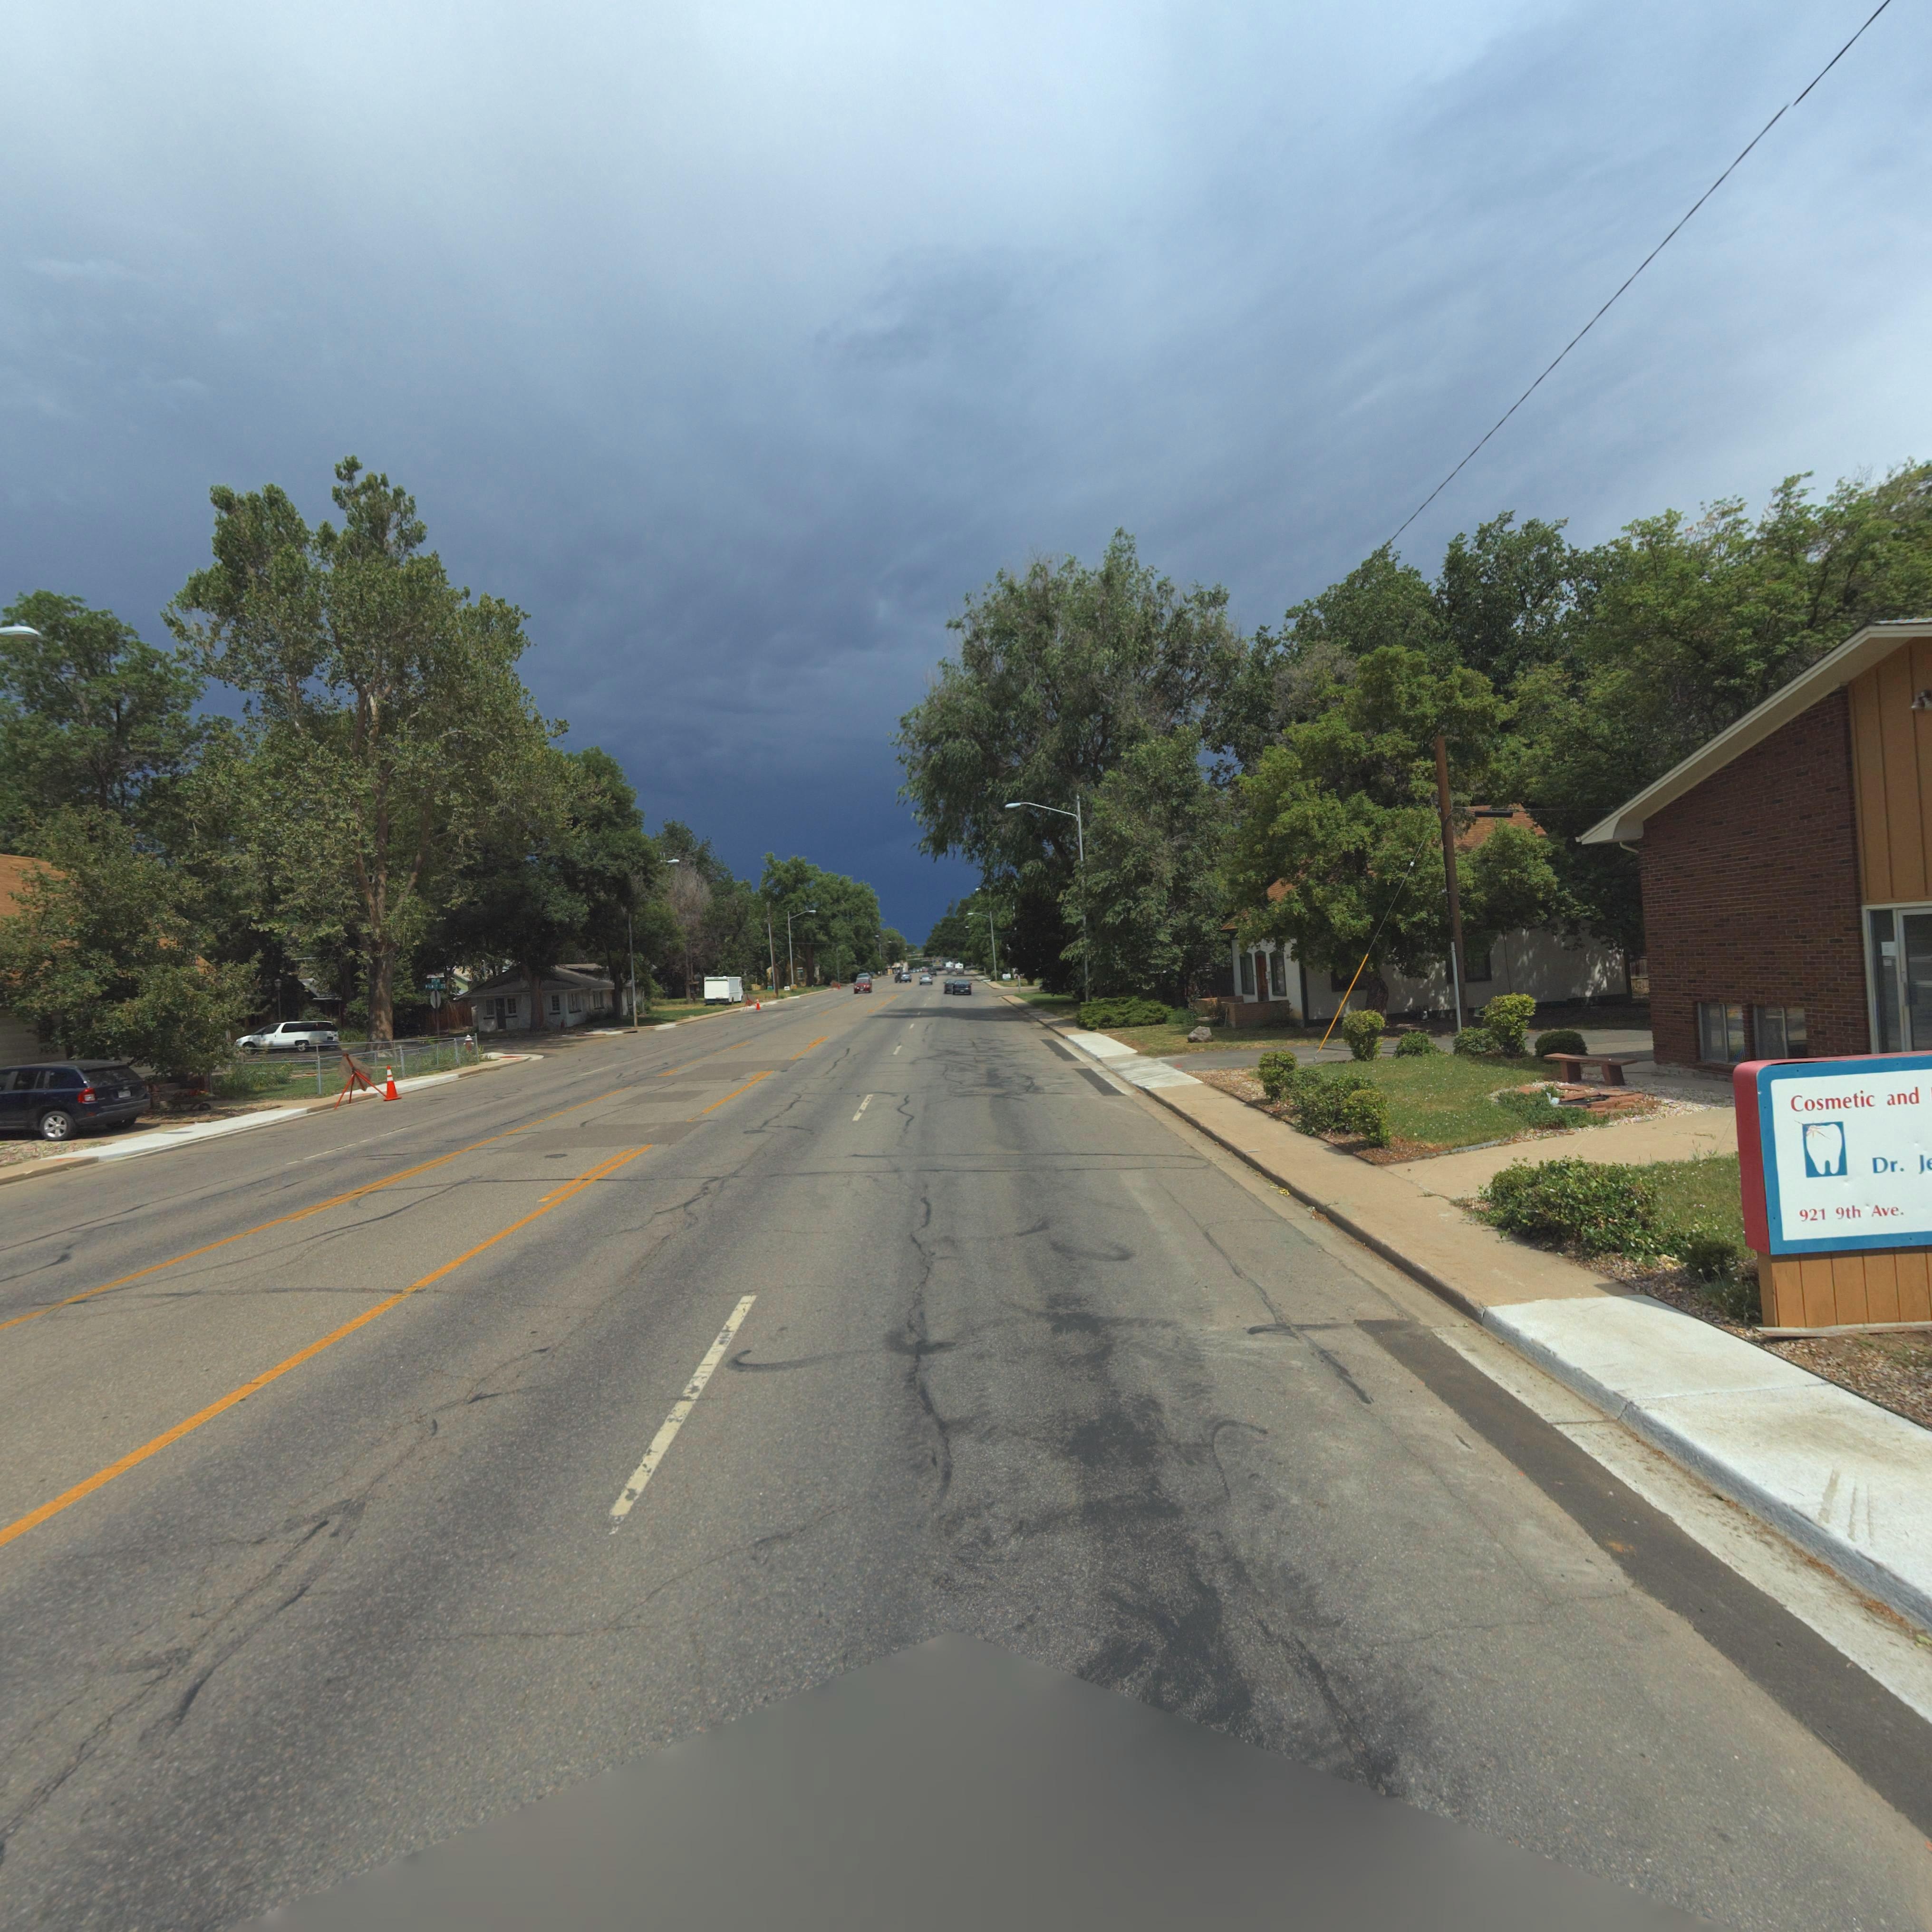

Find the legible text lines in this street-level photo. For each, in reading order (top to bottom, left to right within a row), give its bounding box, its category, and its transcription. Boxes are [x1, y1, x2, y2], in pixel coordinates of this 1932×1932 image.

[425, 984, 445, 989] StreetName: *RATT ST
[431, 978, 440, 983] StreetName: *** AV
[1790, 1085, 1920, 1112] BusinessName: Cosmetic and
[1872, 1152, 1926, 1175] BusinessName: Dr. J
[1798, 1207, 1826, 1222] StreetNumber: 921
[1835, 1203, 1904, 1220] StreetName: 9th Ave.